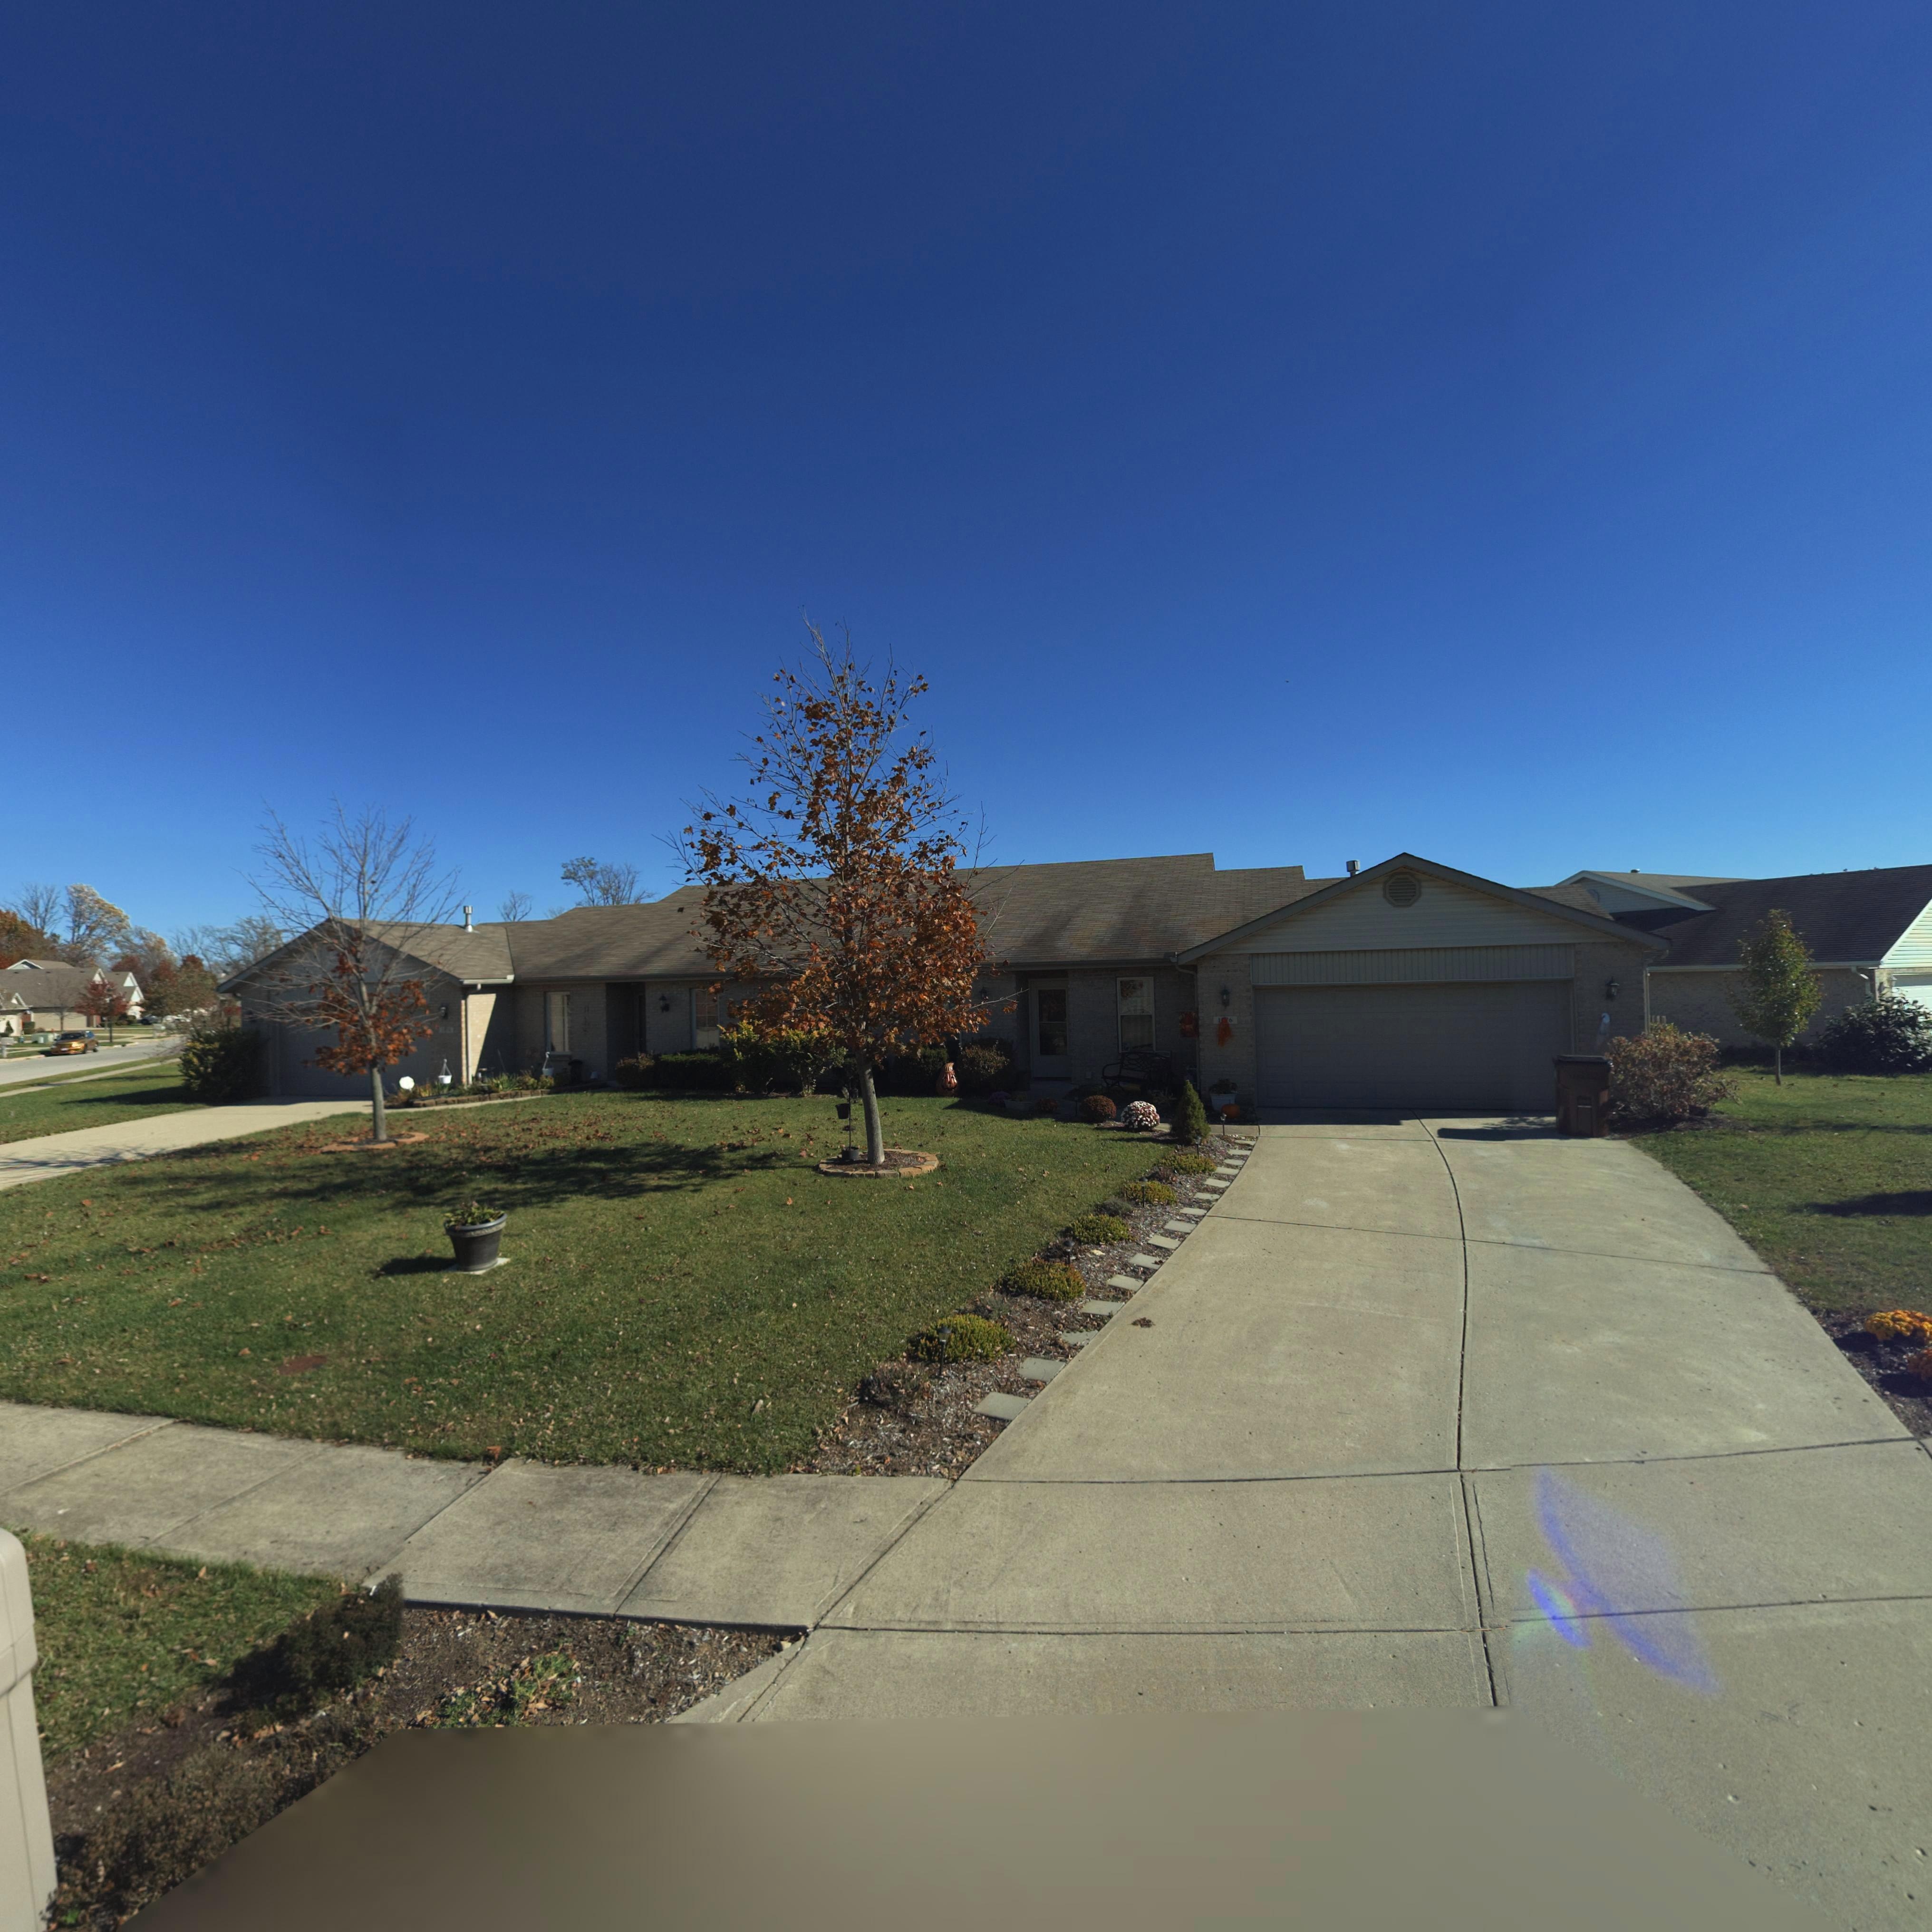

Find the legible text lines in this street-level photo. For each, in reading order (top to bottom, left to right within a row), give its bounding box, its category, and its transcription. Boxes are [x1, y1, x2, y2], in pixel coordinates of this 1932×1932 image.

[1217, 1017, 1234, 1024] StreetNumber: 1**6